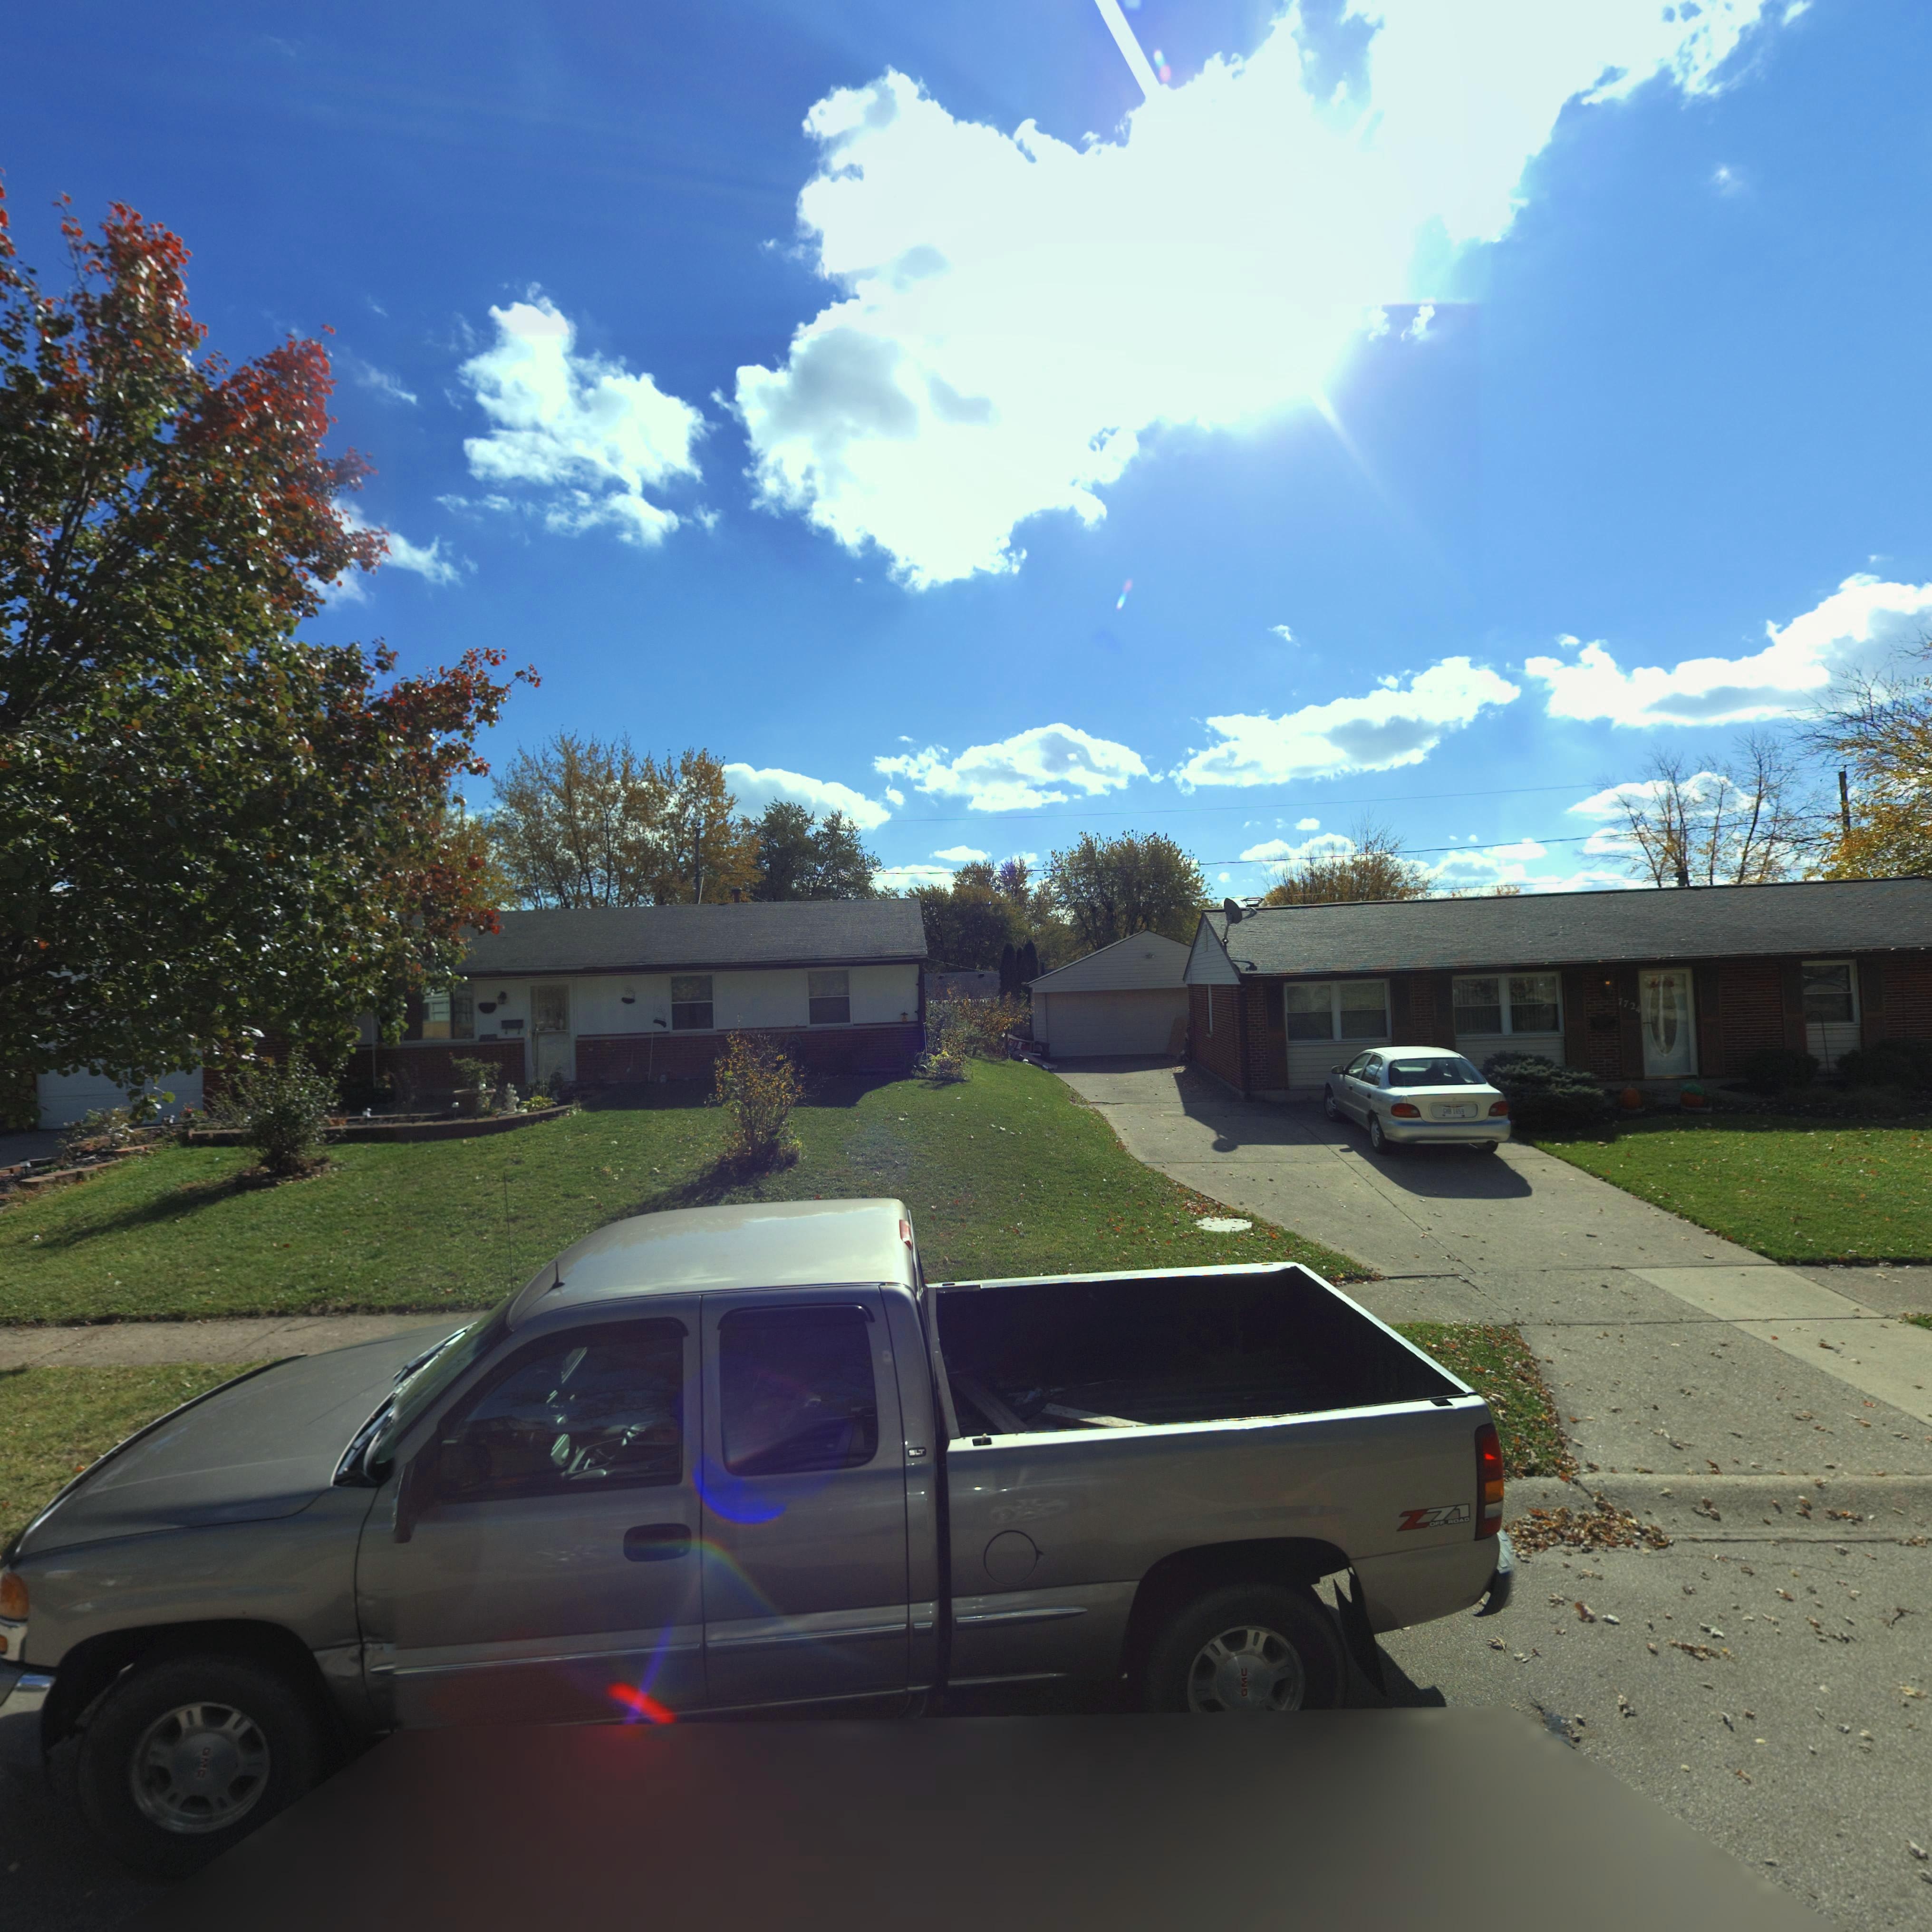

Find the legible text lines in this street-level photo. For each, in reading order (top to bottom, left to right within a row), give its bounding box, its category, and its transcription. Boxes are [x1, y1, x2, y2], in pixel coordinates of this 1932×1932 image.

[1617, 997, 1641, 1014] StreetNumber: 7724